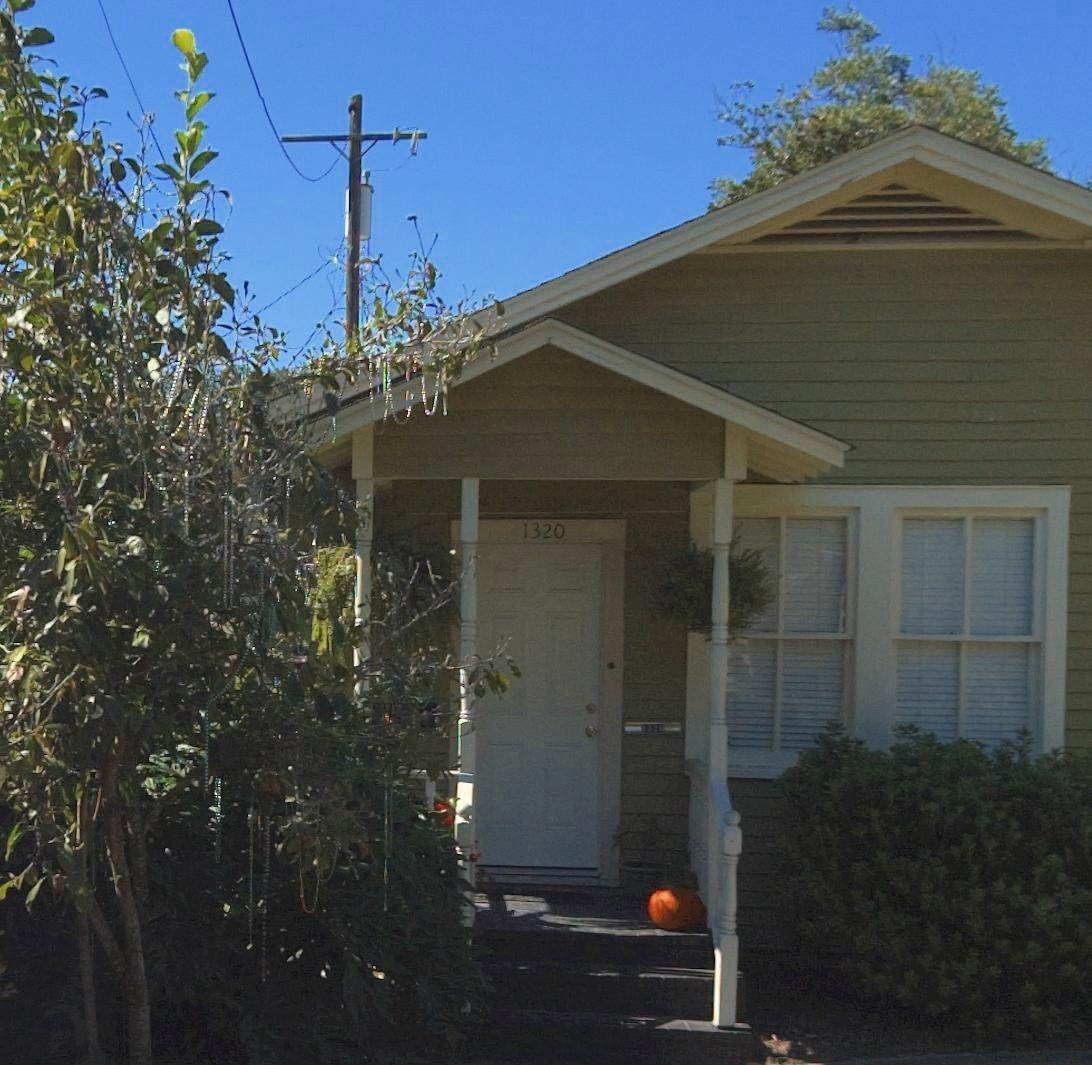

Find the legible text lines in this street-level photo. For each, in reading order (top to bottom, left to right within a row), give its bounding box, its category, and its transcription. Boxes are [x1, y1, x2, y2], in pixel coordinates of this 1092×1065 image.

[521, 520, 568, 542] StreetNumber: 1320